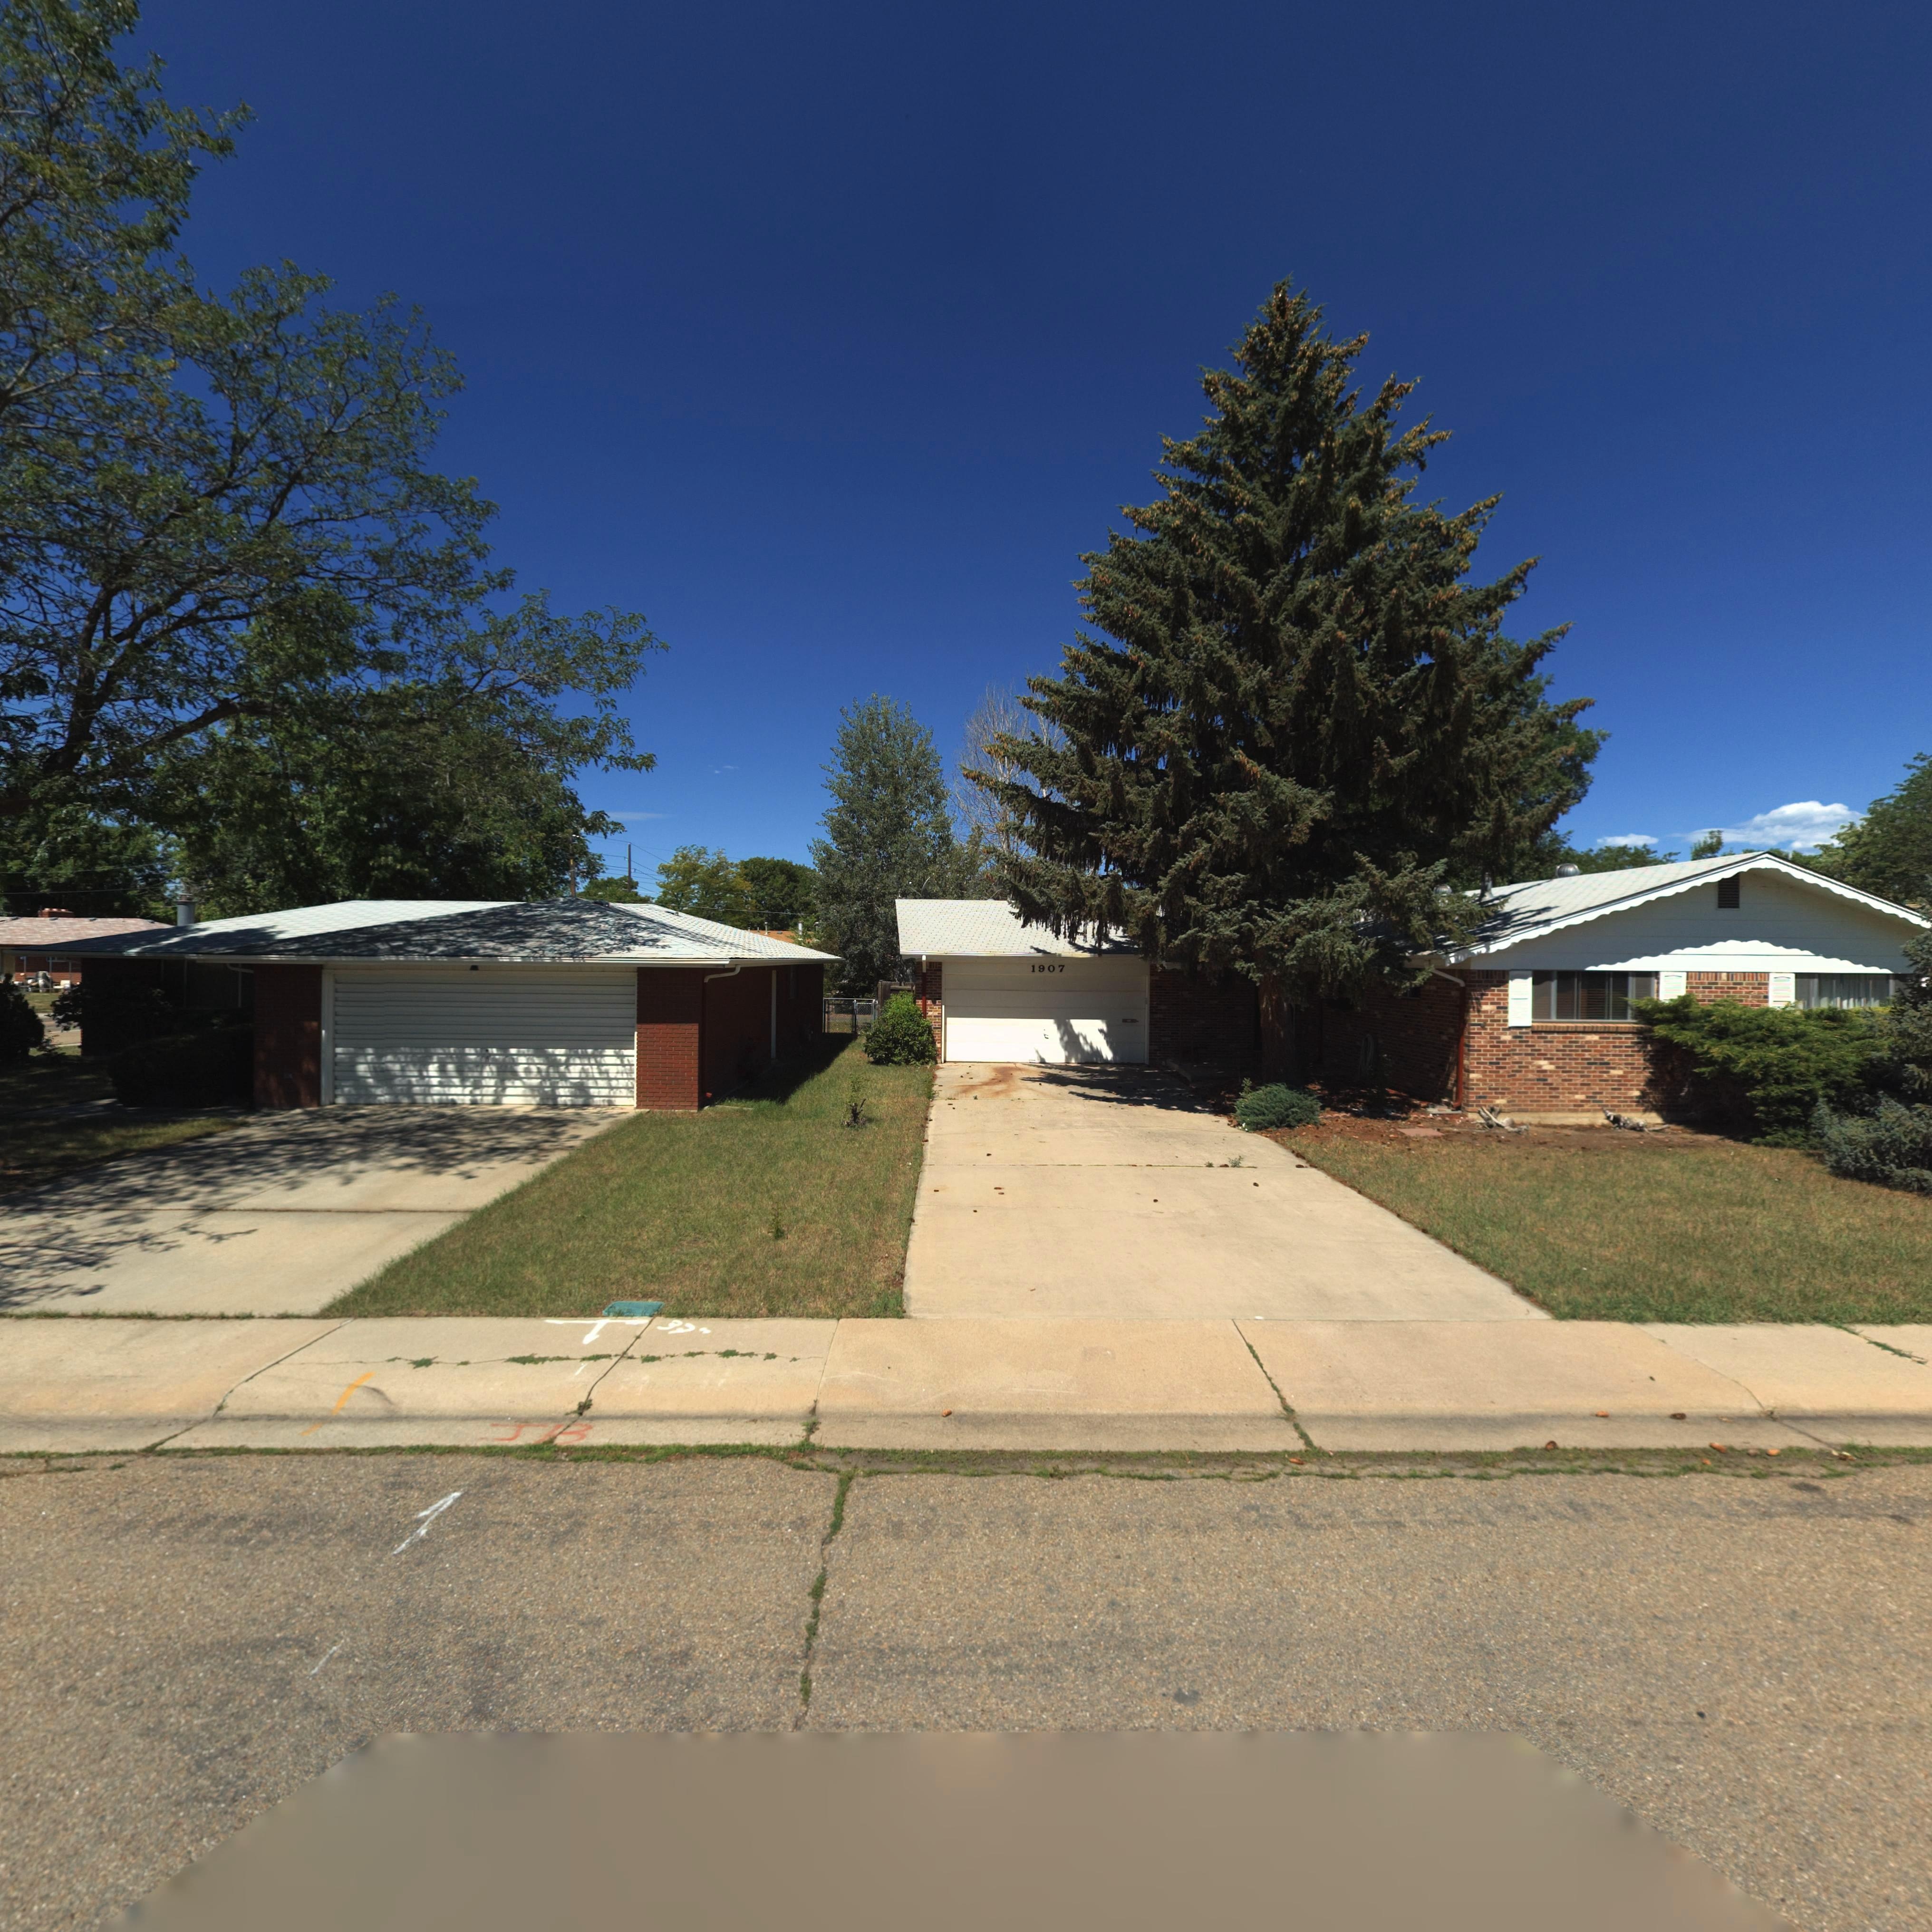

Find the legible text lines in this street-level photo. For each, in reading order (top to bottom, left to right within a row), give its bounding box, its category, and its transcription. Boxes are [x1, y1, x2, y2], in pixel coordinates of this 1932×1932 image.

[1031, 963, 1066, 973] StreetNumber: 1907